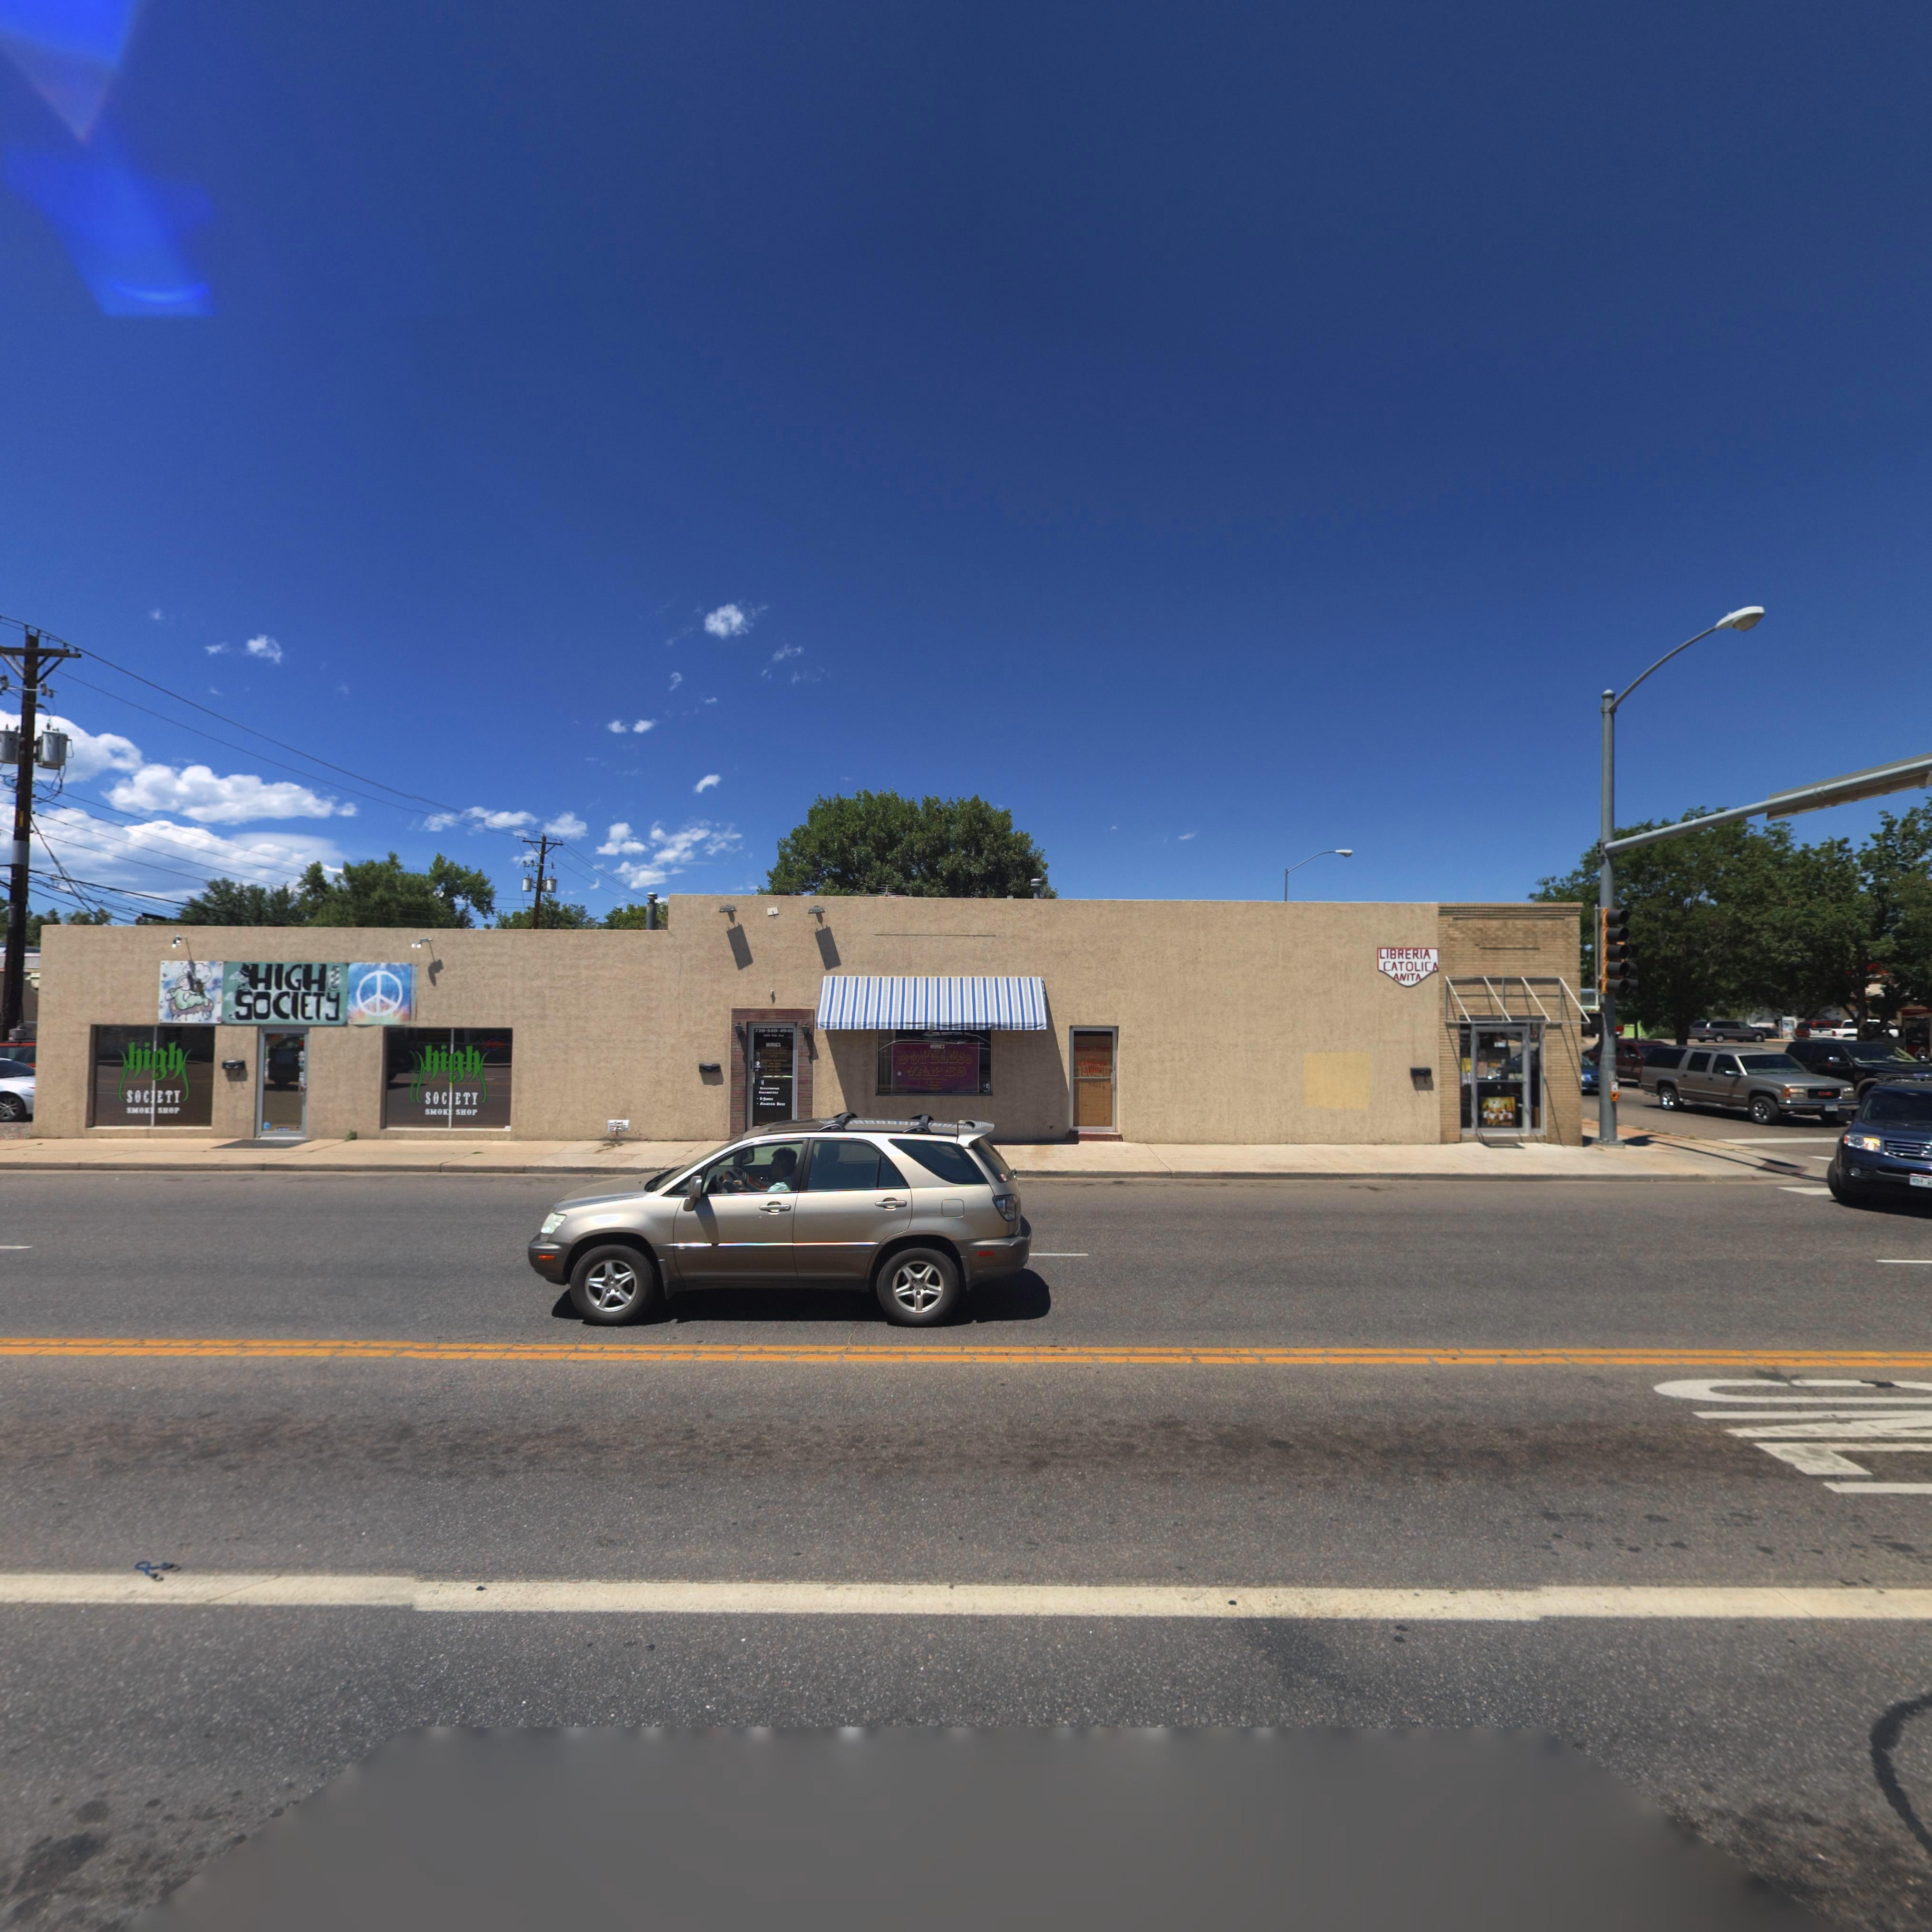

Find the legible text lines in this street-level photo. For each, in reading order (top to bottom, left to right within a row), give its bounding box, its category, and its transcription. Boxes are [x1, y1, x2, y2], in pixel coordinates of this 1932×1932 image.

[1379, 948, 1431, 960] BusinessName: LIBRERIA
[1383, 960, 1439, 972] BusinessName: CATOLICA
[248, 962, 327, 992] BusinessName: HIGH
[1393, 972, 1421, 982] BusinessName: ANITA
[234, 988, 340, 1022] BusinessName: SOCIETY
[763, 1033, 771, 1037] StreetNumber: 604
[771, 1034, 784, 1037] StreetName: 9** A**
[127, 1039, 184, 1081] BusinessName: high
[425, 1041, 480, 1083] BusinessName: high
[760, 1046, 787, 1054] BusinessName: DOPELESS
[897, 1048, 974, 1065] BusinessName: DOPELESS
[901, 1065, 966, 1077] BusinessName: VAPES
[125, 1089, 181, 1103] BusinessName: SOC*ETY
[424, 1090, 479, 1105] BusinessName: SOC*ETY